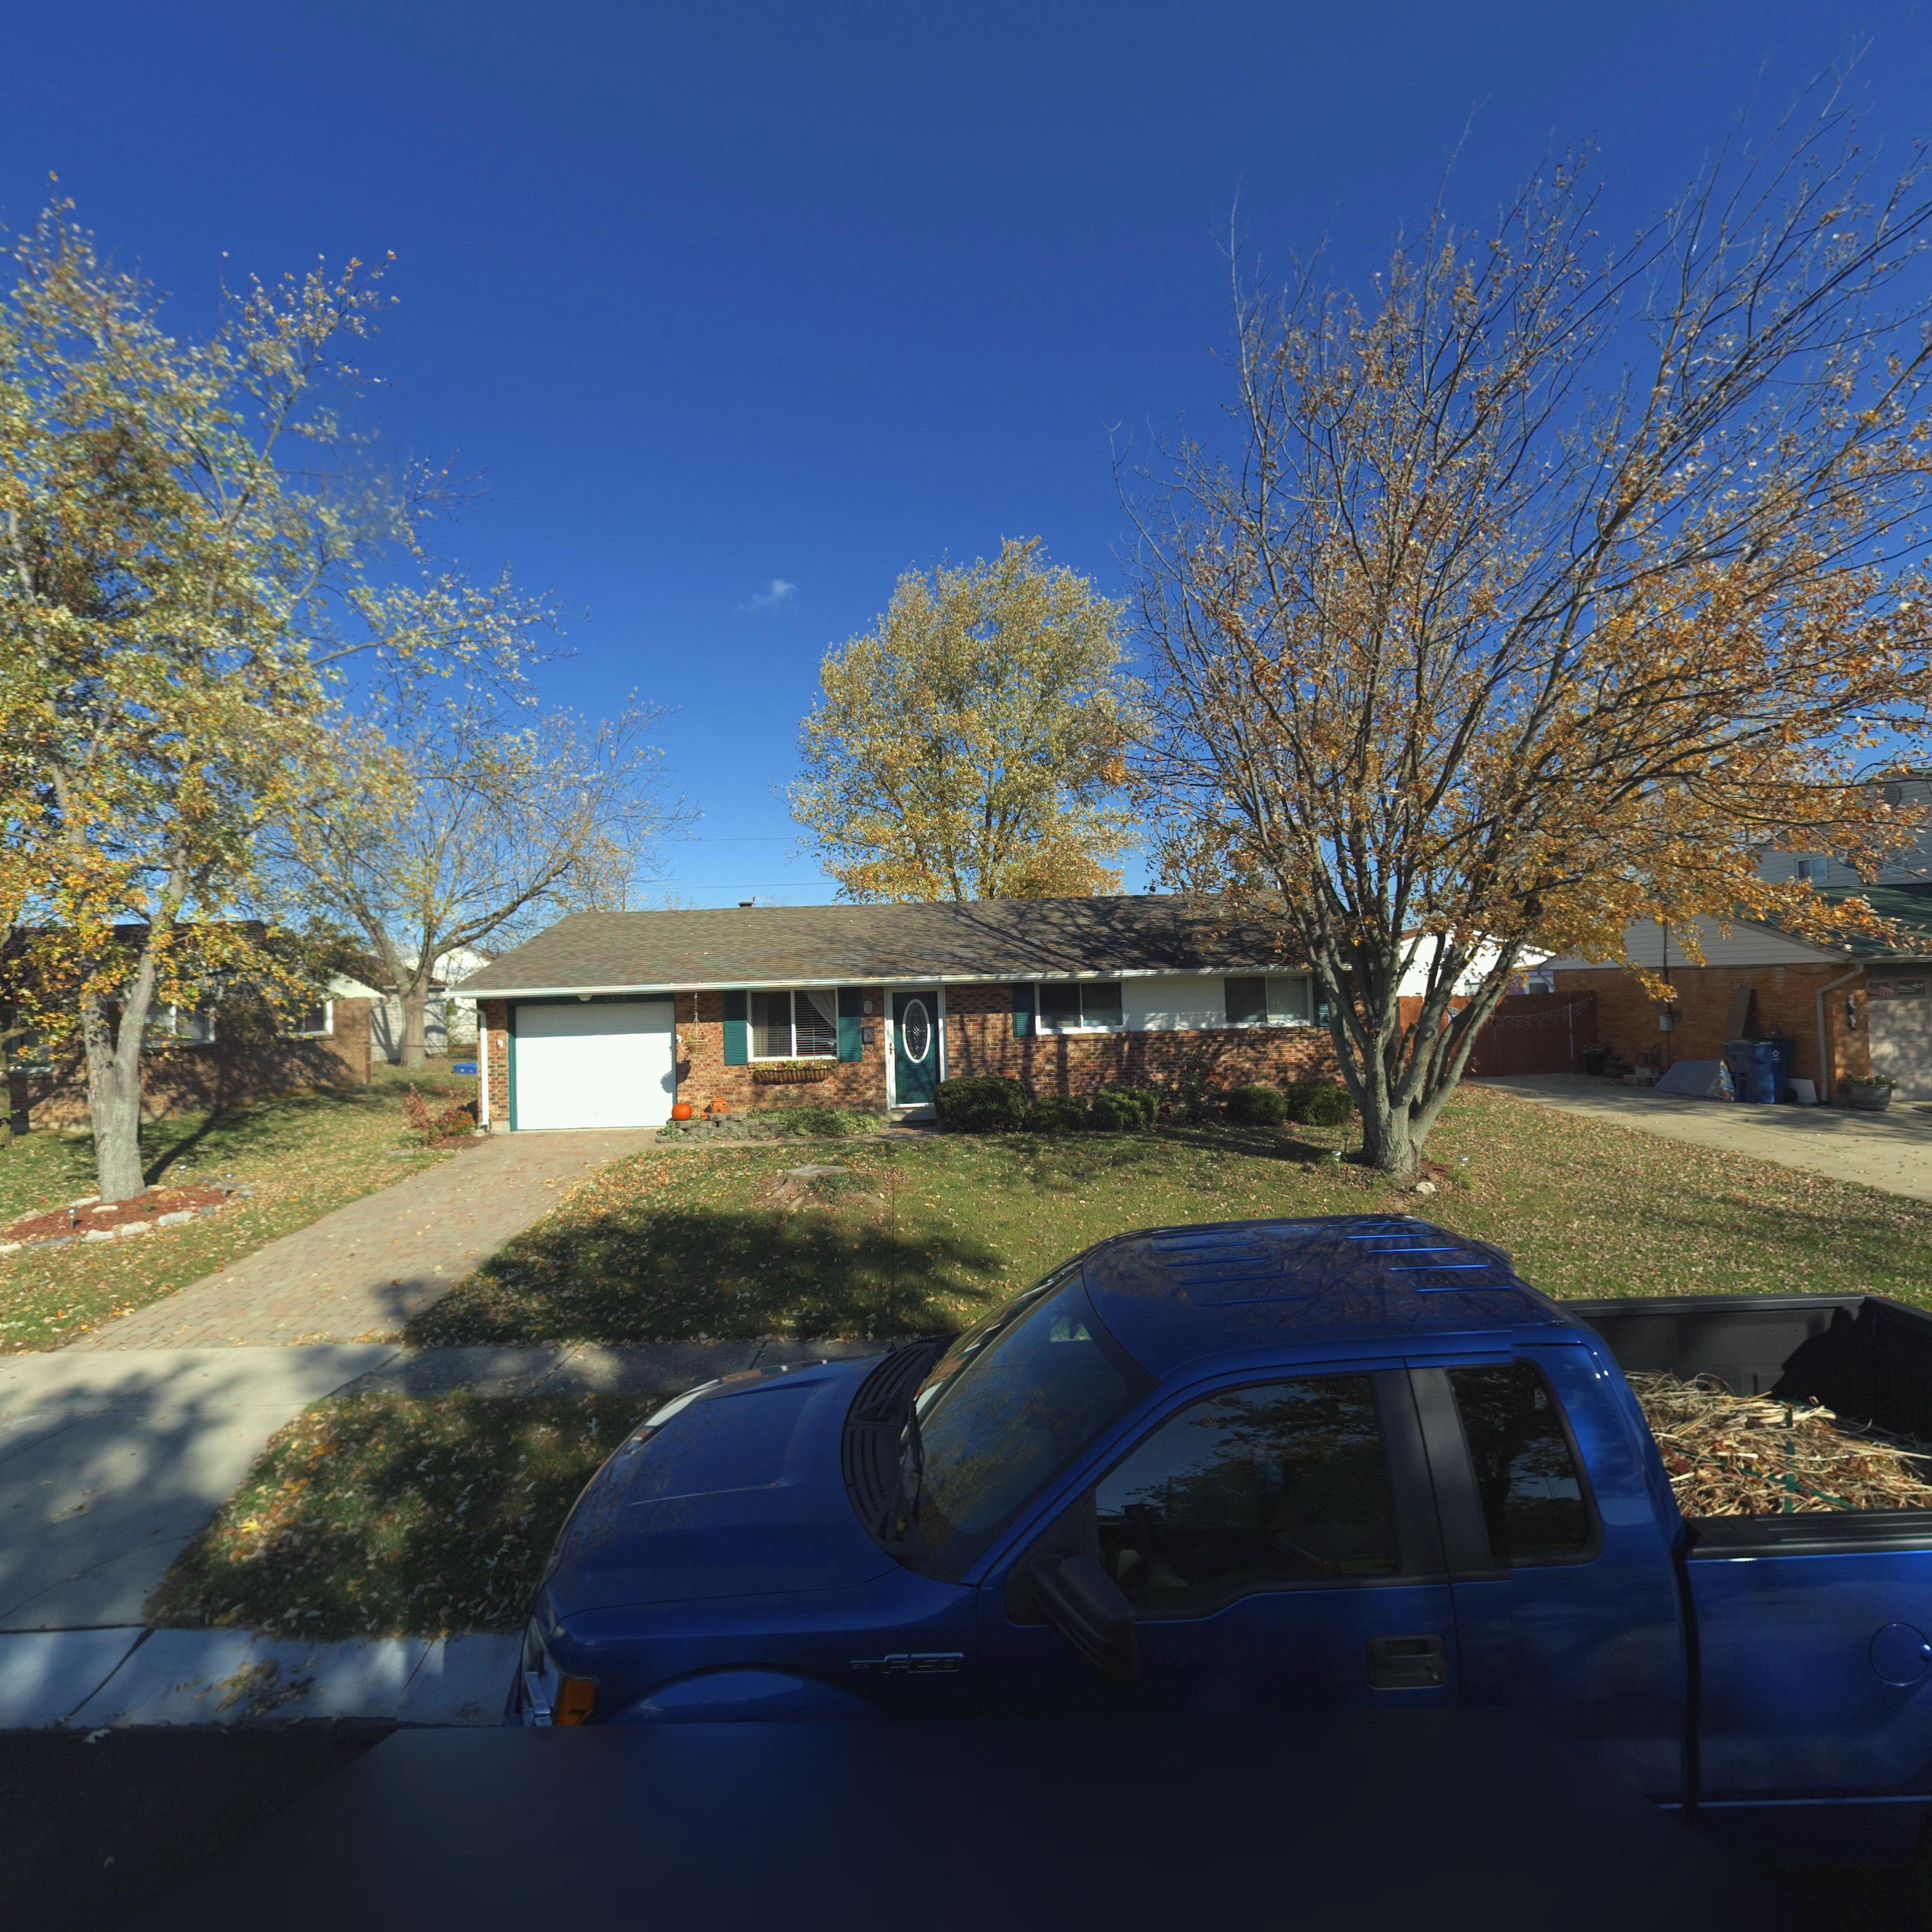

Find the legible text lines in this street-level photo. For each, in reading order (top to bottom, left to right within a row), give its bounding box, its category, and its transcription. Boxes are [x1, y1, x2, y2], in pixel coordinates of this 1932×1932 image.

[603, 995, 628, 1003] StreetNumber: 6979